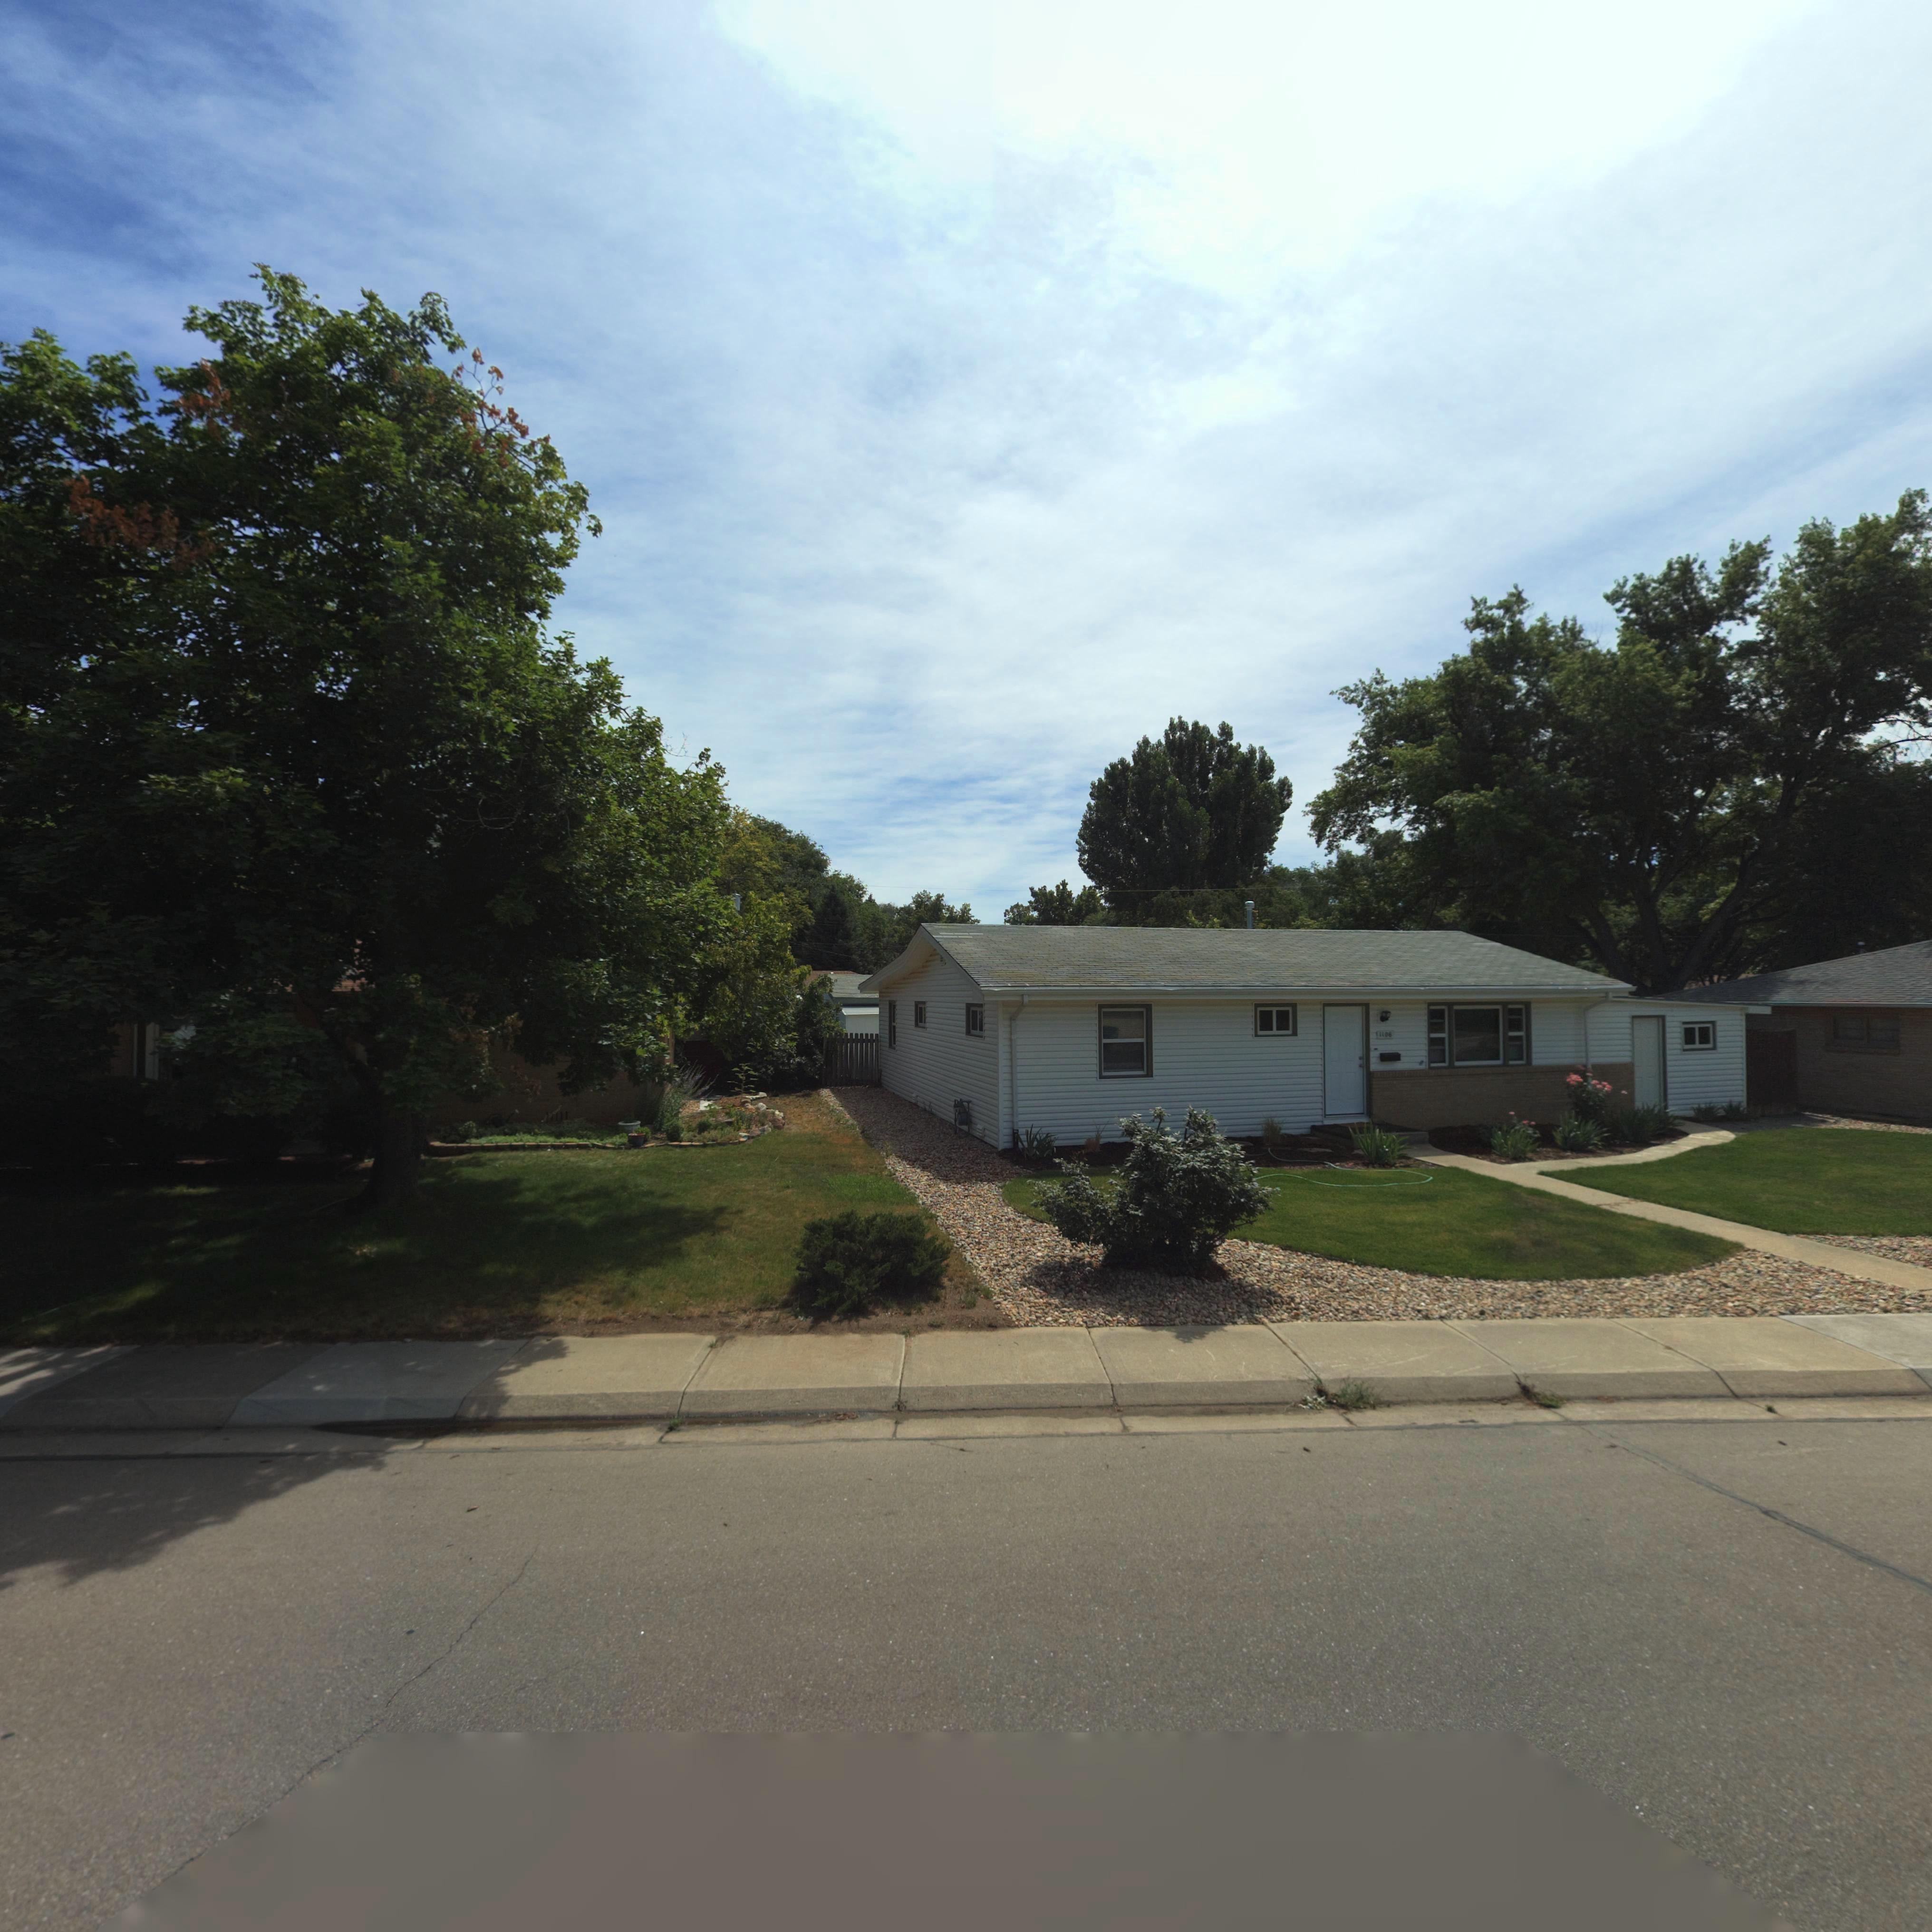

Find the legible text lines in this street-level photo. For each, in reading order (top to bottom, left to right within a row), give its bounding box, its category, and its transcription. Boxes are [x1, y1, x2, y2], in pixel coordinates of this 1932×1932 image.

[1379, 1031, 1392, 1037] StreetNumber: 1106